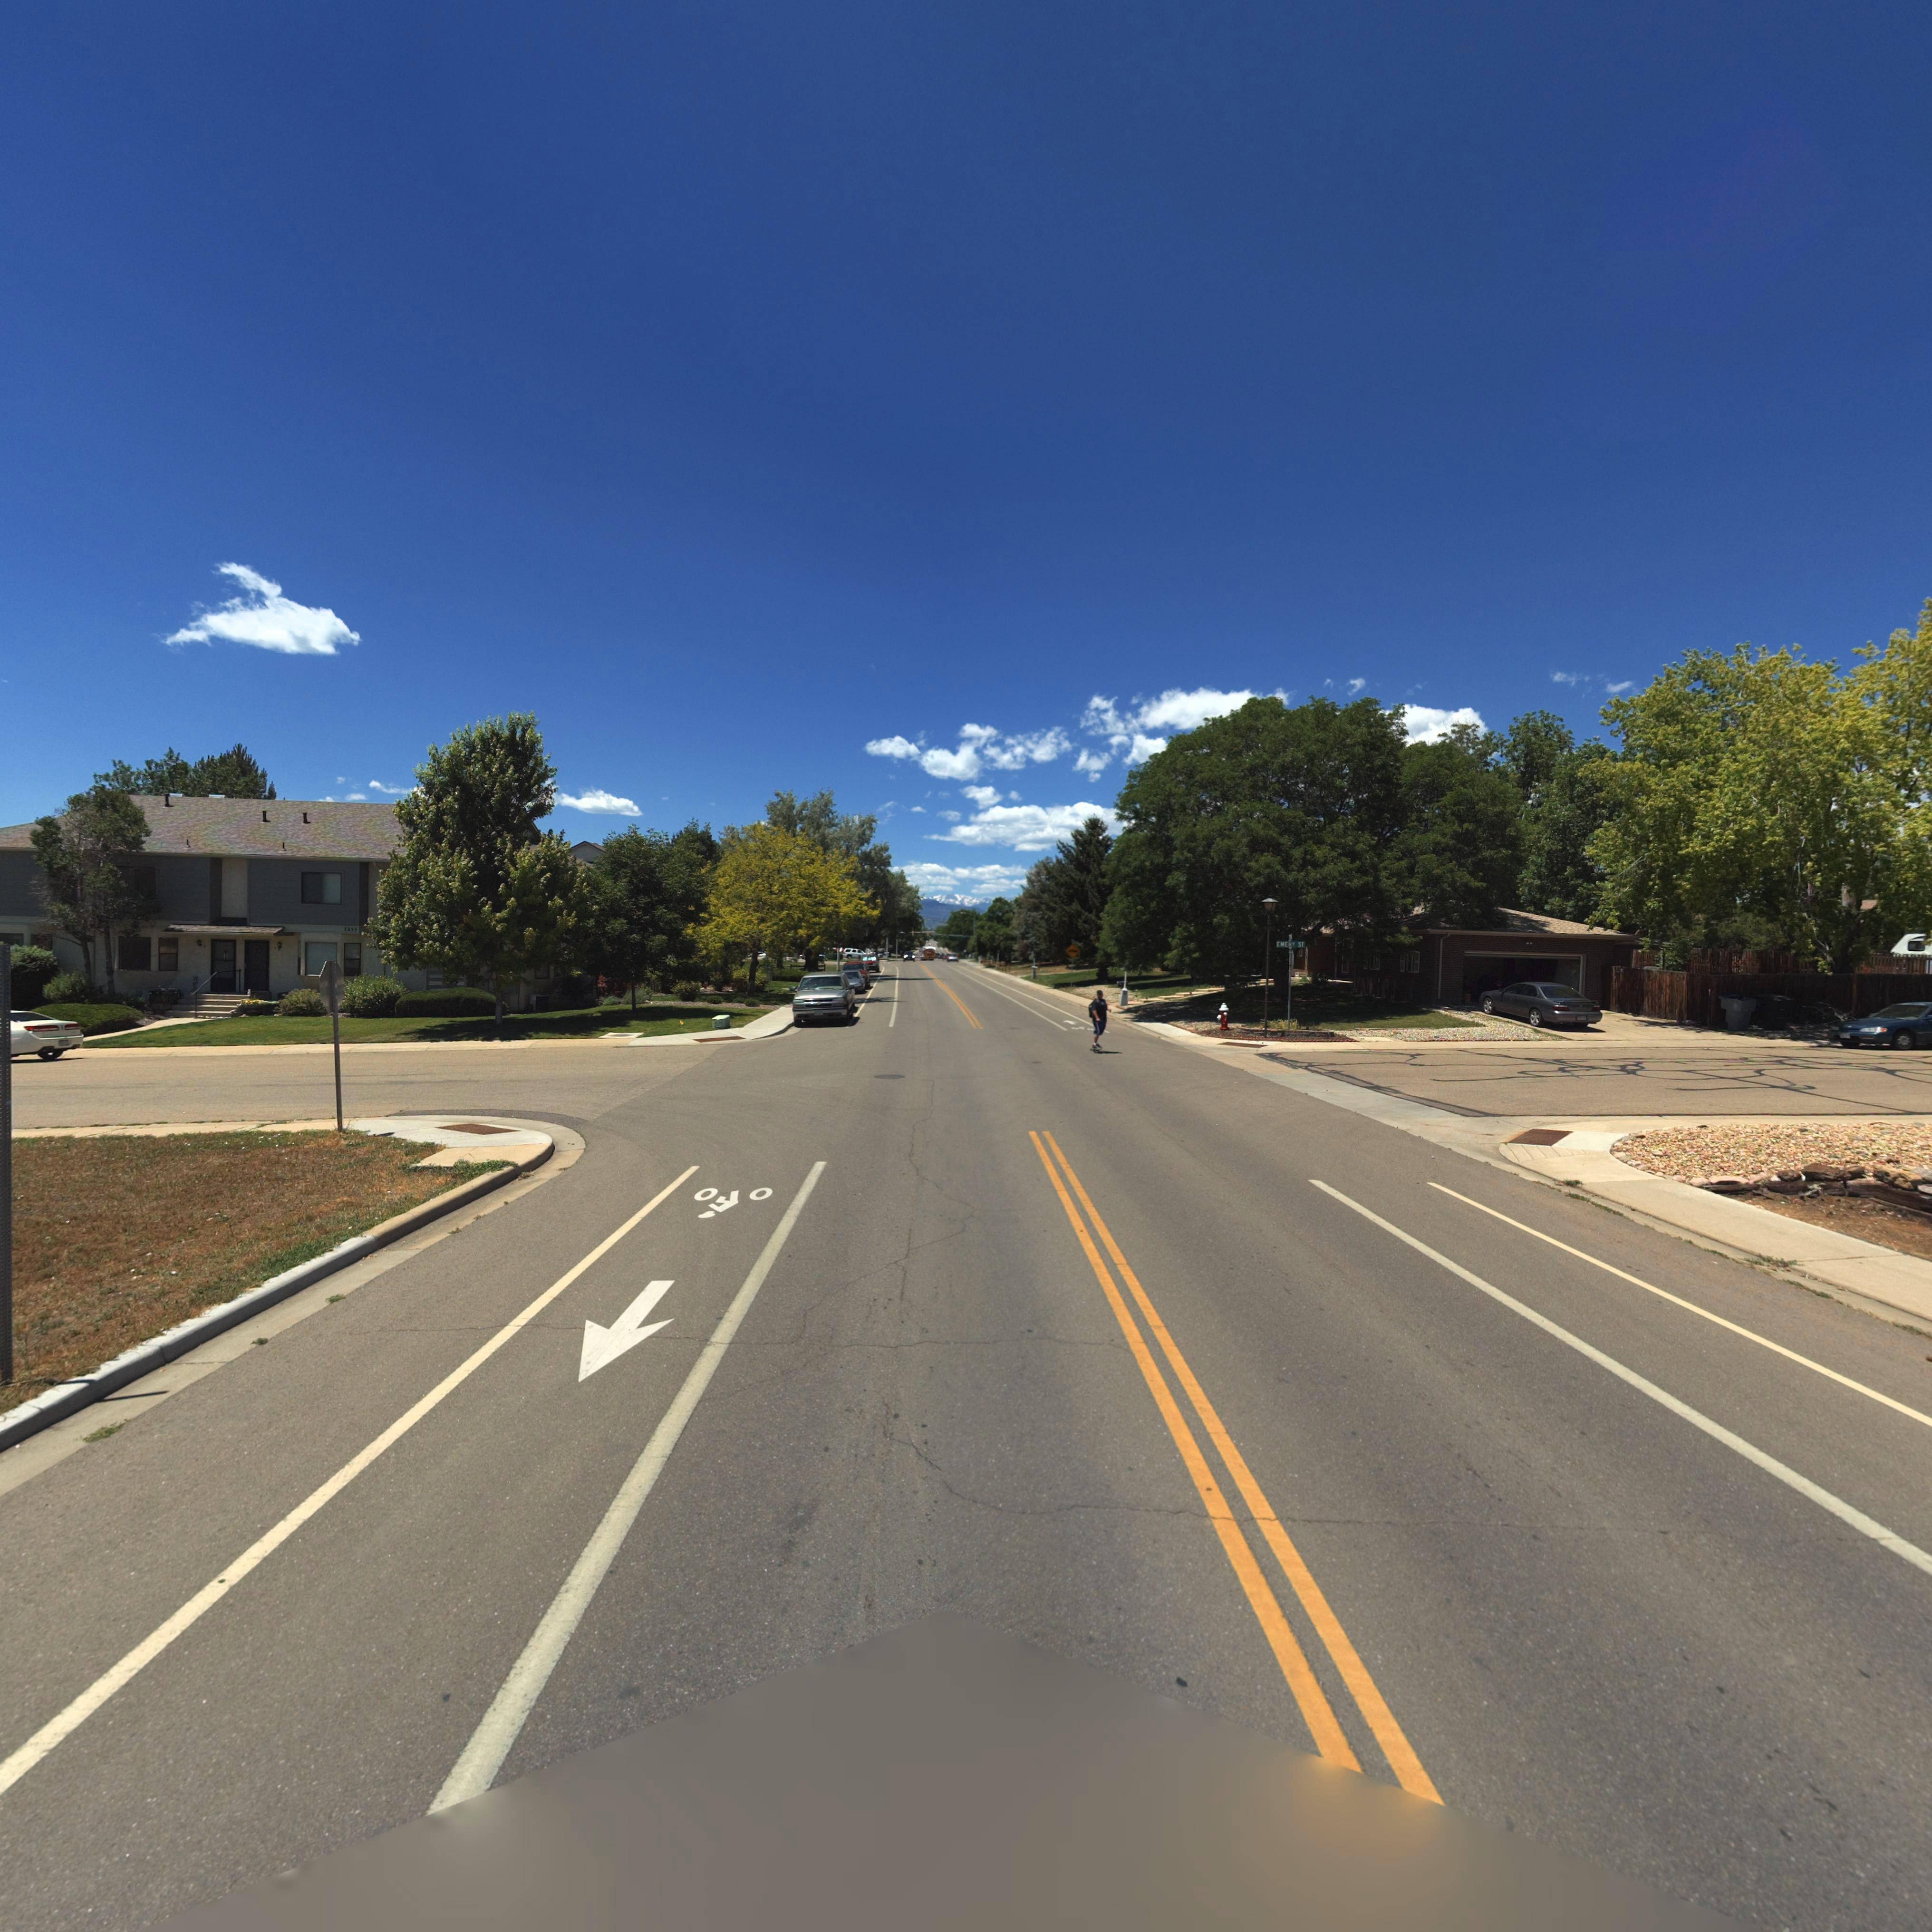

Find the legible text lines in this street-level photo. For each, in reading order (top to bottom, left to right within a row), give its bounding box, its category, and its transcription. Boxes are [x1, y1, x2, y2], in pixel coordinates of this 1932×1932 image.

[343, 927, 357, 932] StreetNumber: 2255
[1276, 941, 1304, 947] StreetName: EMERY ST